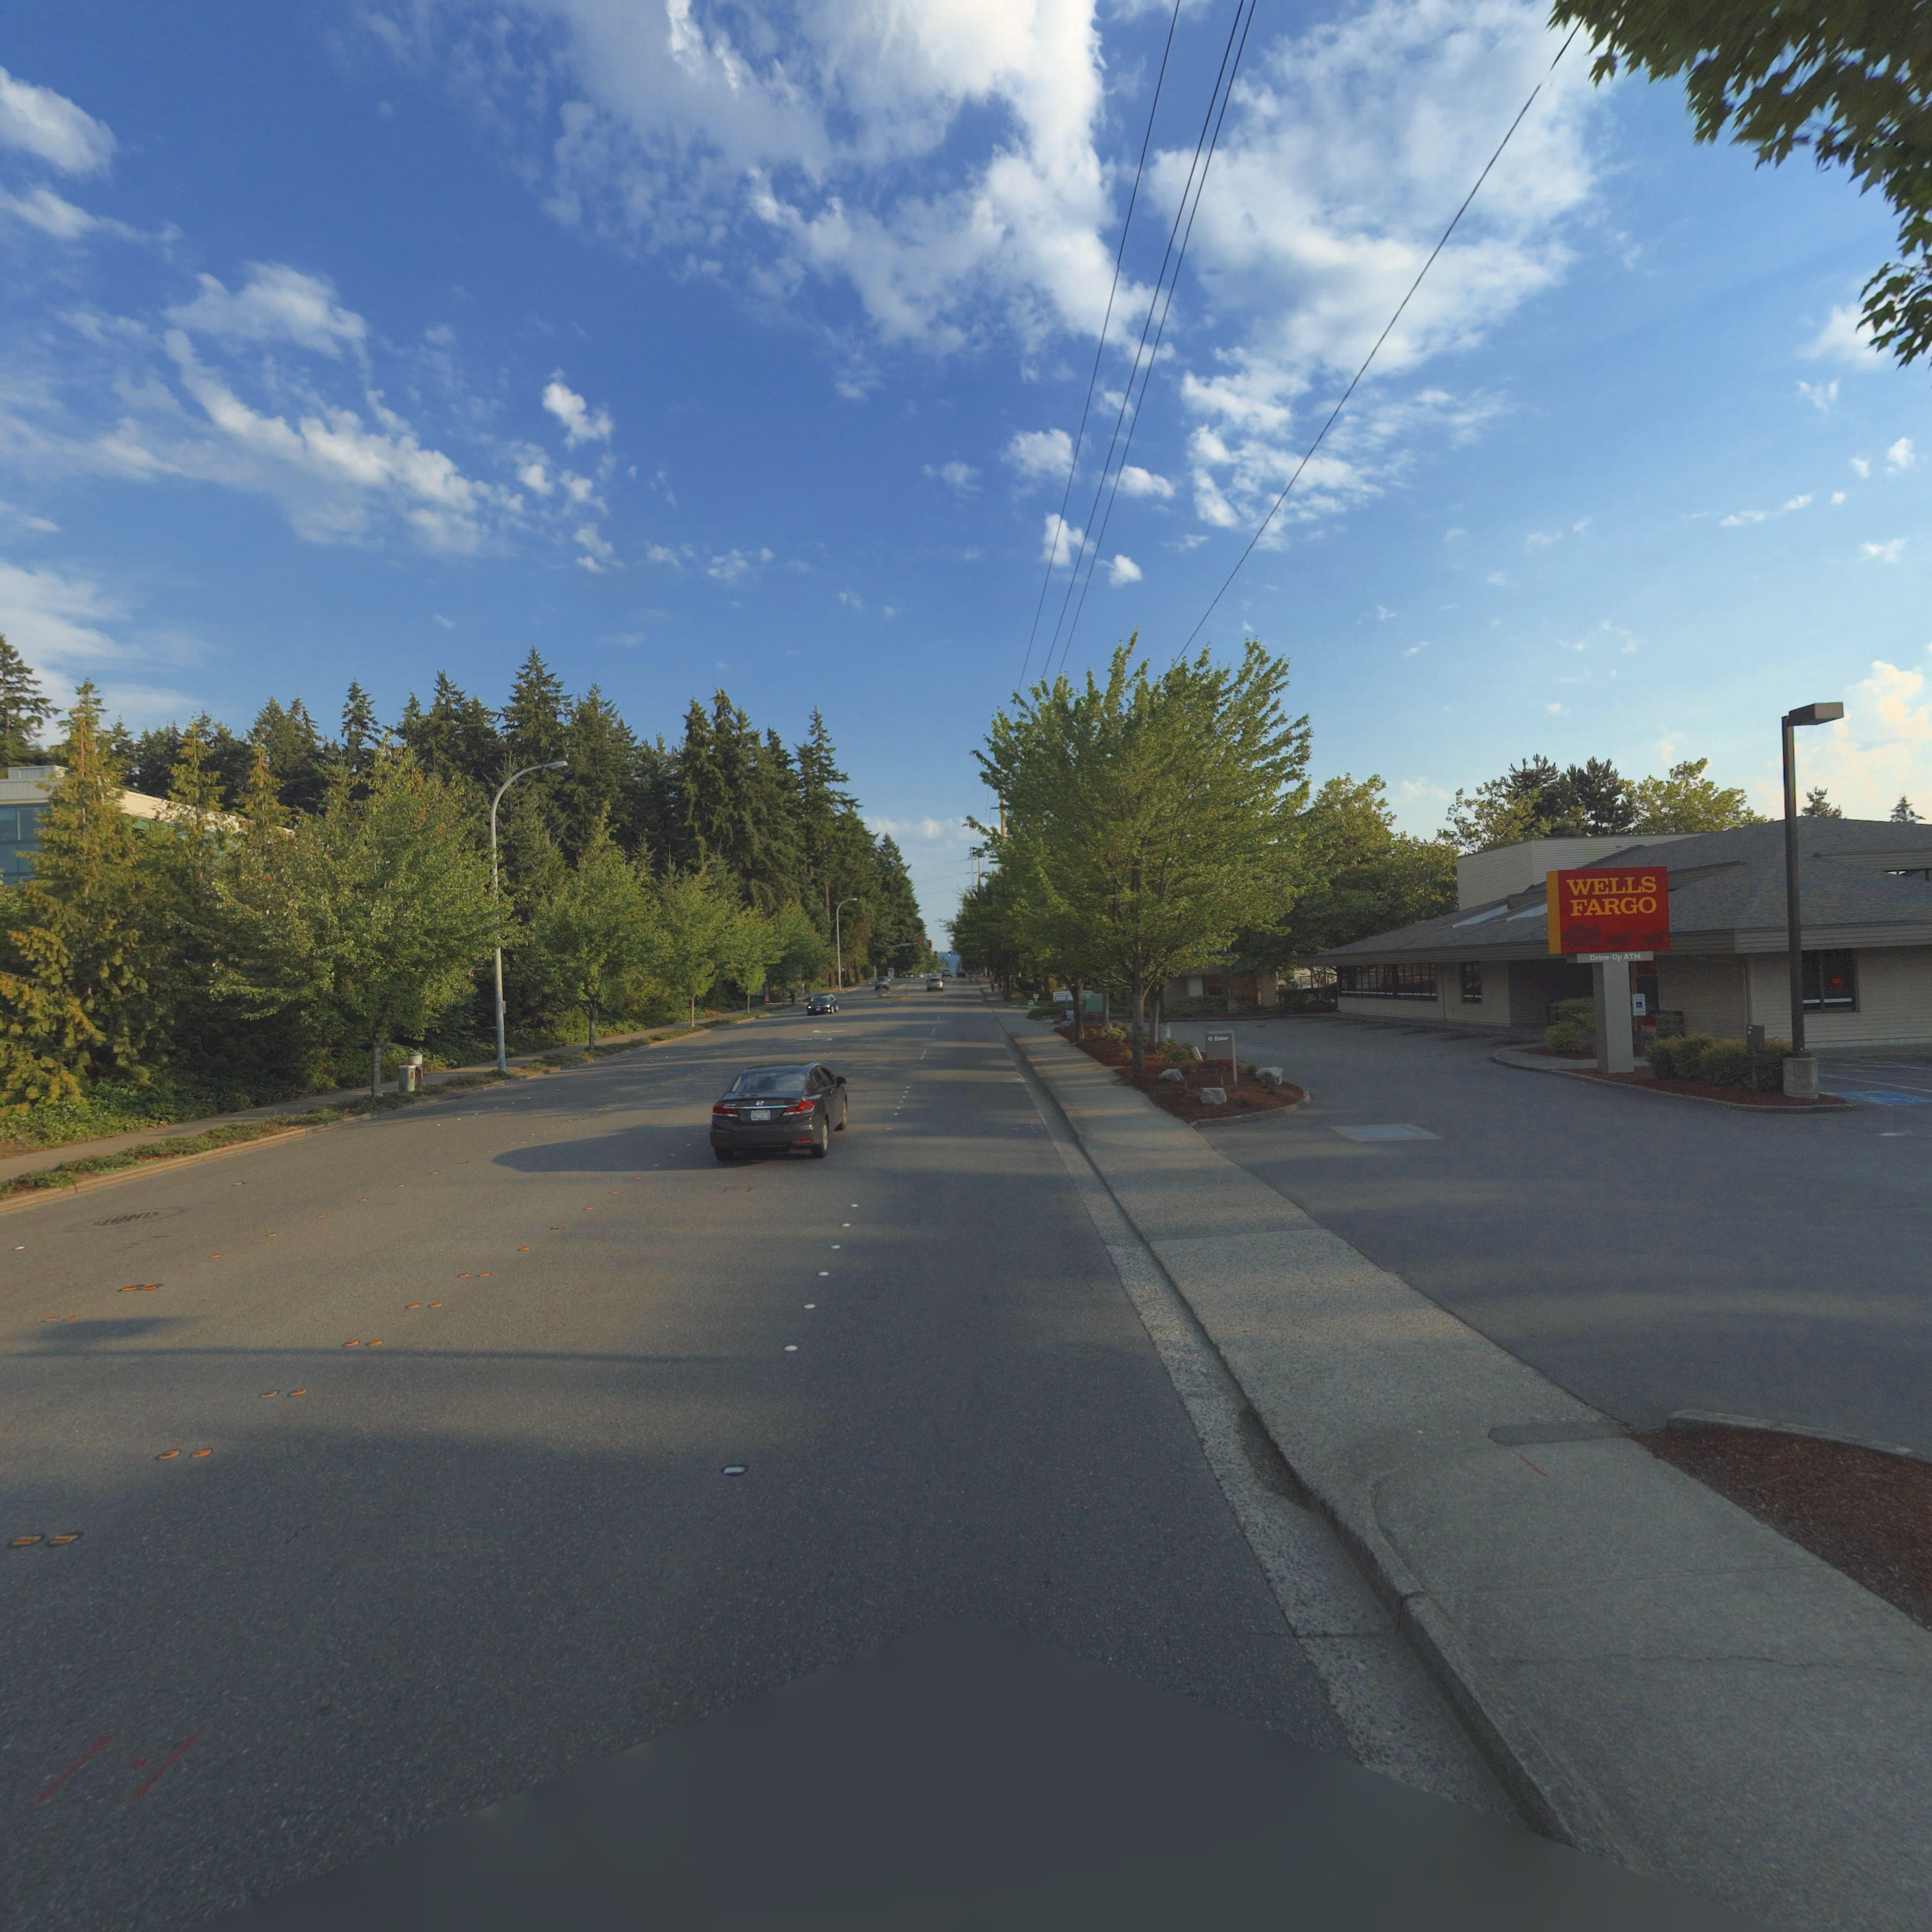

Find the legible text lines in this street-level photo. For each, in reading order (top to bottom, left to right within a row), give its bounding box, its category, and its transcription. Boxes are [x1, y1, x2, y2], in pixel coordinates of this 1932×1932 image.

[1565, 875, 1657, 896] BusinessName: WELLS
[1570, 896, 1657, 916] BusinessName: FARGO